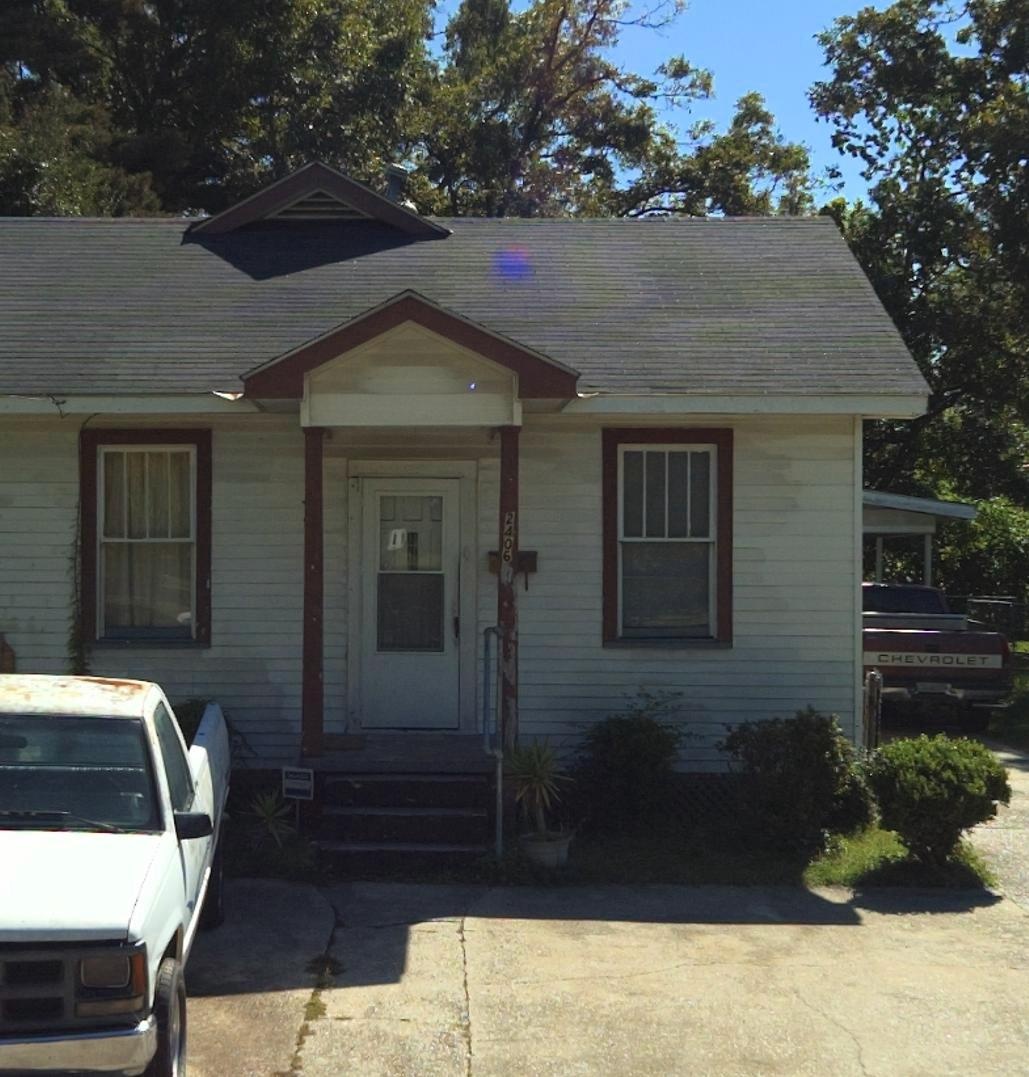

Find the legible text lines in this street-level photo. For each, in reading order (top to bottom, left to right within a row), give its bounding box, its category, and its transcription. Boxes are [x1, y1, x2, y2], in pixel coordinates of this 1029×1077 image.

[502, 512, 515, 562] StreetNumber: 2406
[877, 652, 991, 666] None: CHEVROLET